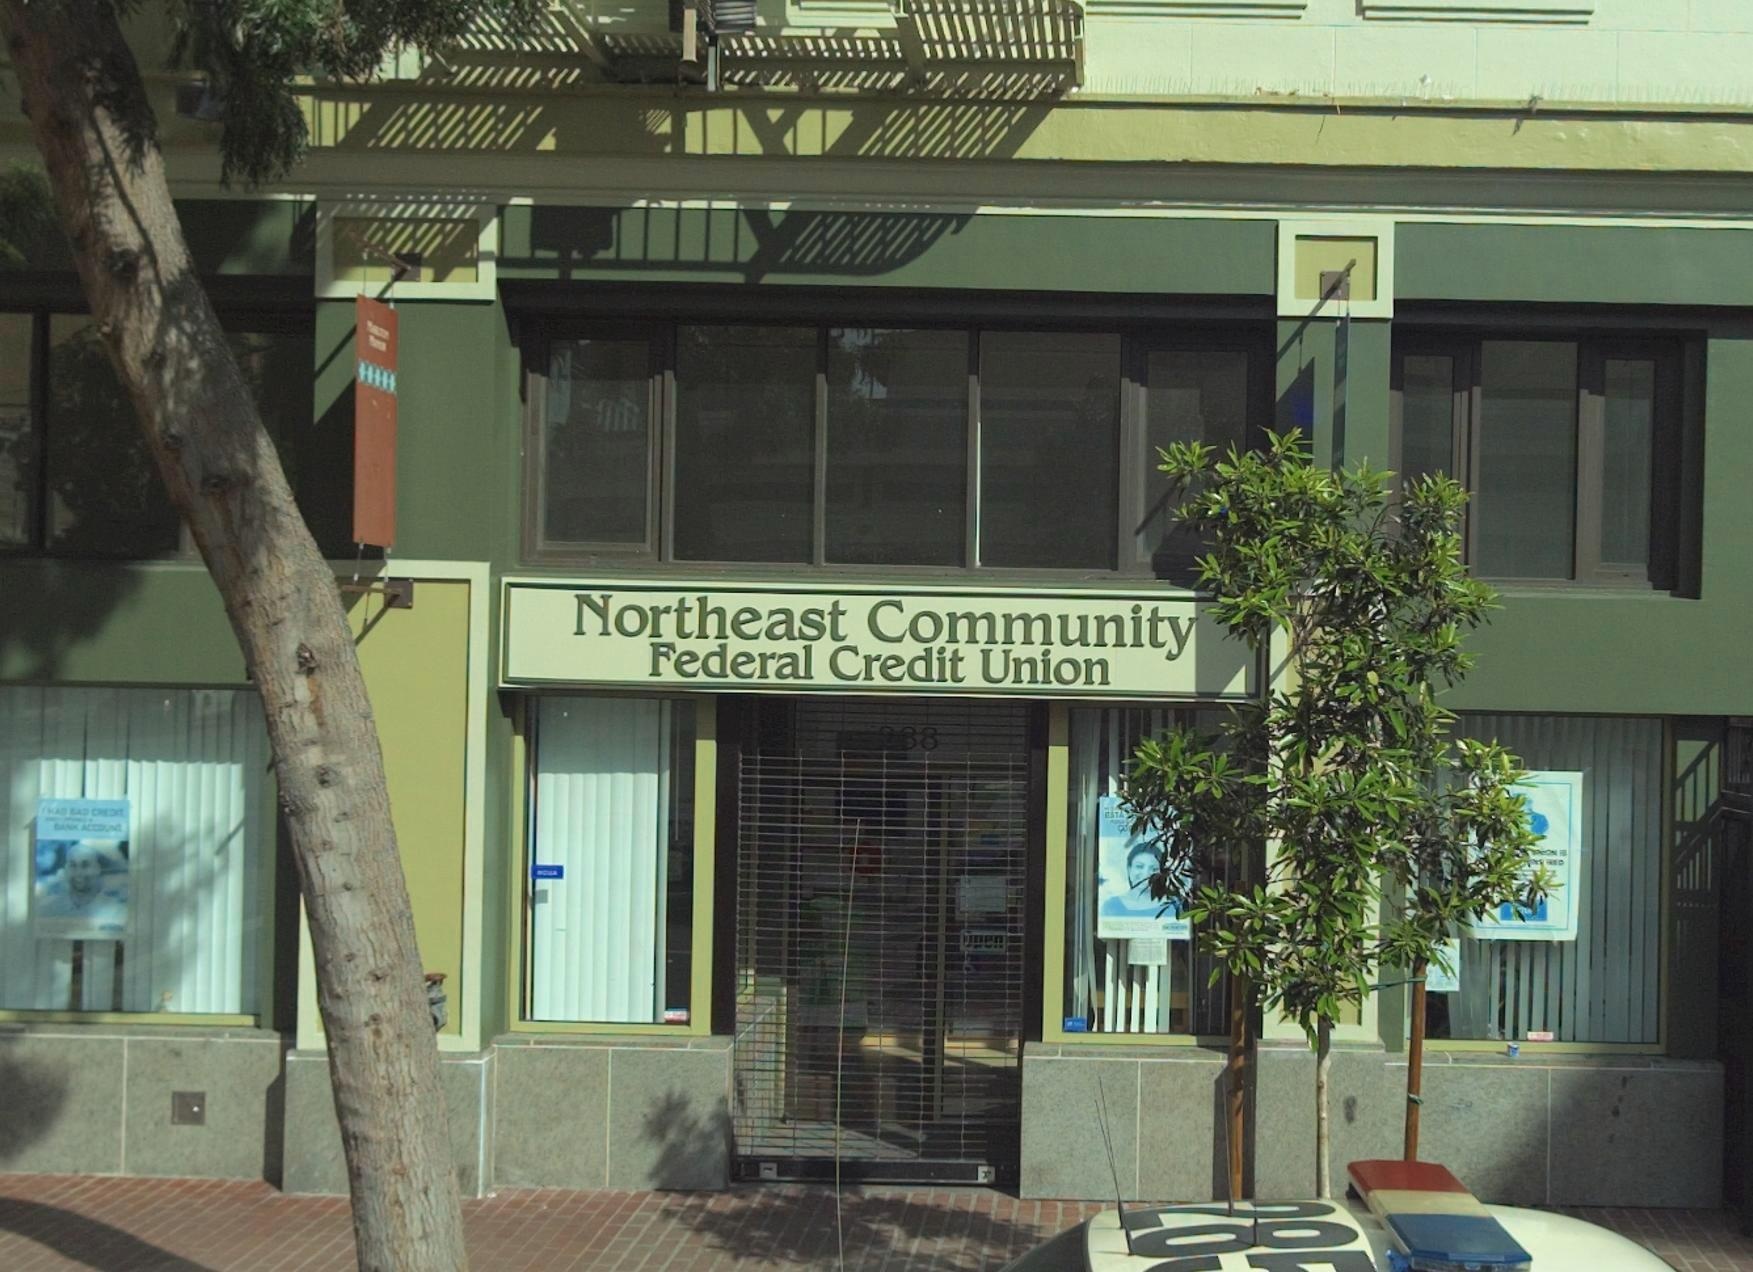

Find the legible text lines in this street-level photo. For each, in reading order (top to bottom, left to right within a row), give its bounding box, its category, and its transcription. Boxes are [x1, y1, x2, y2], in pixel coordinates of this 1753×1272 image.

[566, 590, 1204, 663] BusinessName: Northeast Community
[644, 637, 1118, 689] BusinessName: Federal Credit Union
[873, 722, 942, 753] StreetNumber: 238
[1117, 1197, 1367, 1264] None: 28